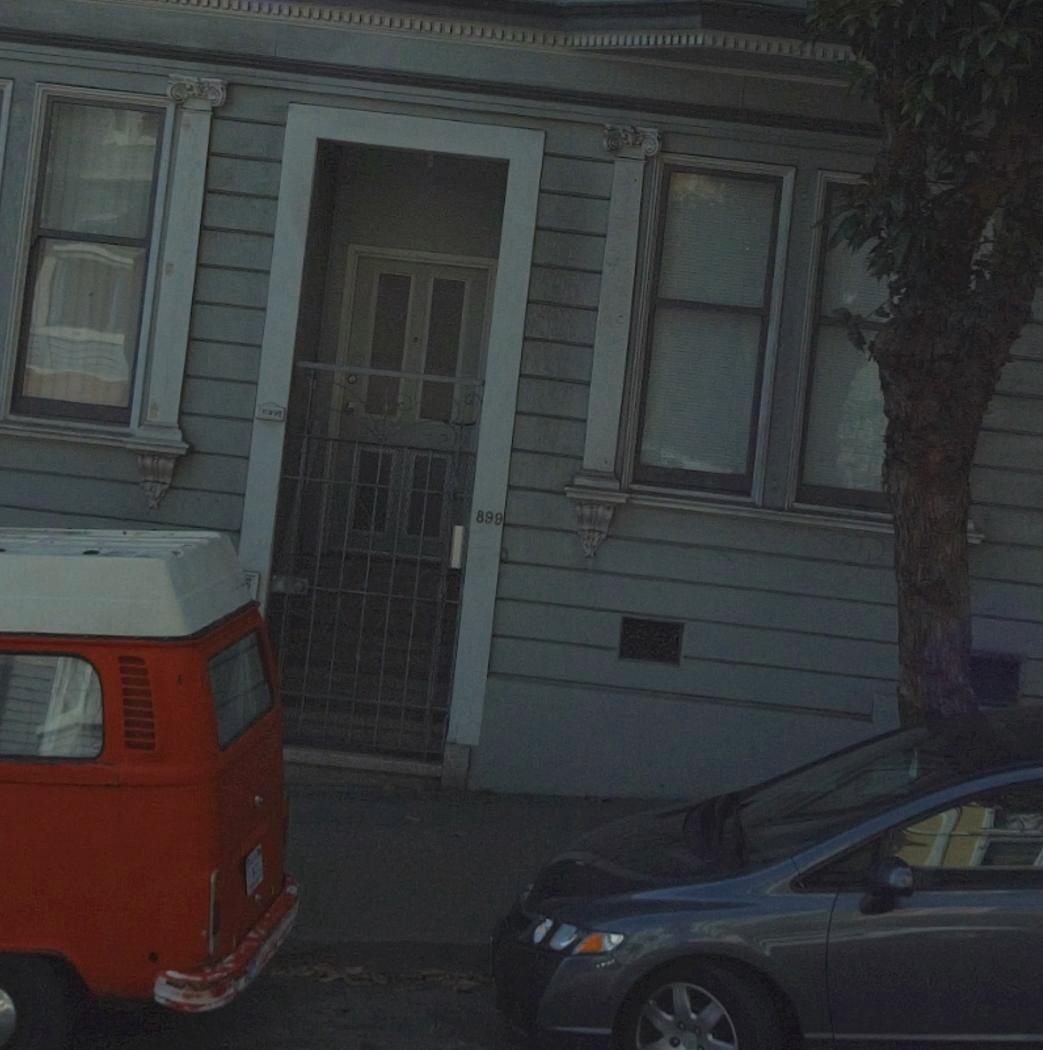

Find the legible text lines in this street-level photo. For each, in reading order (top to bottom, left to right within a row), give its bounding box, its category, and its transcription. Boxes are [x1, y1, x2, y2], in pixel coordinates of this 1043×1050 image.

[474, 509, 503, 526] StreetNumber: 899